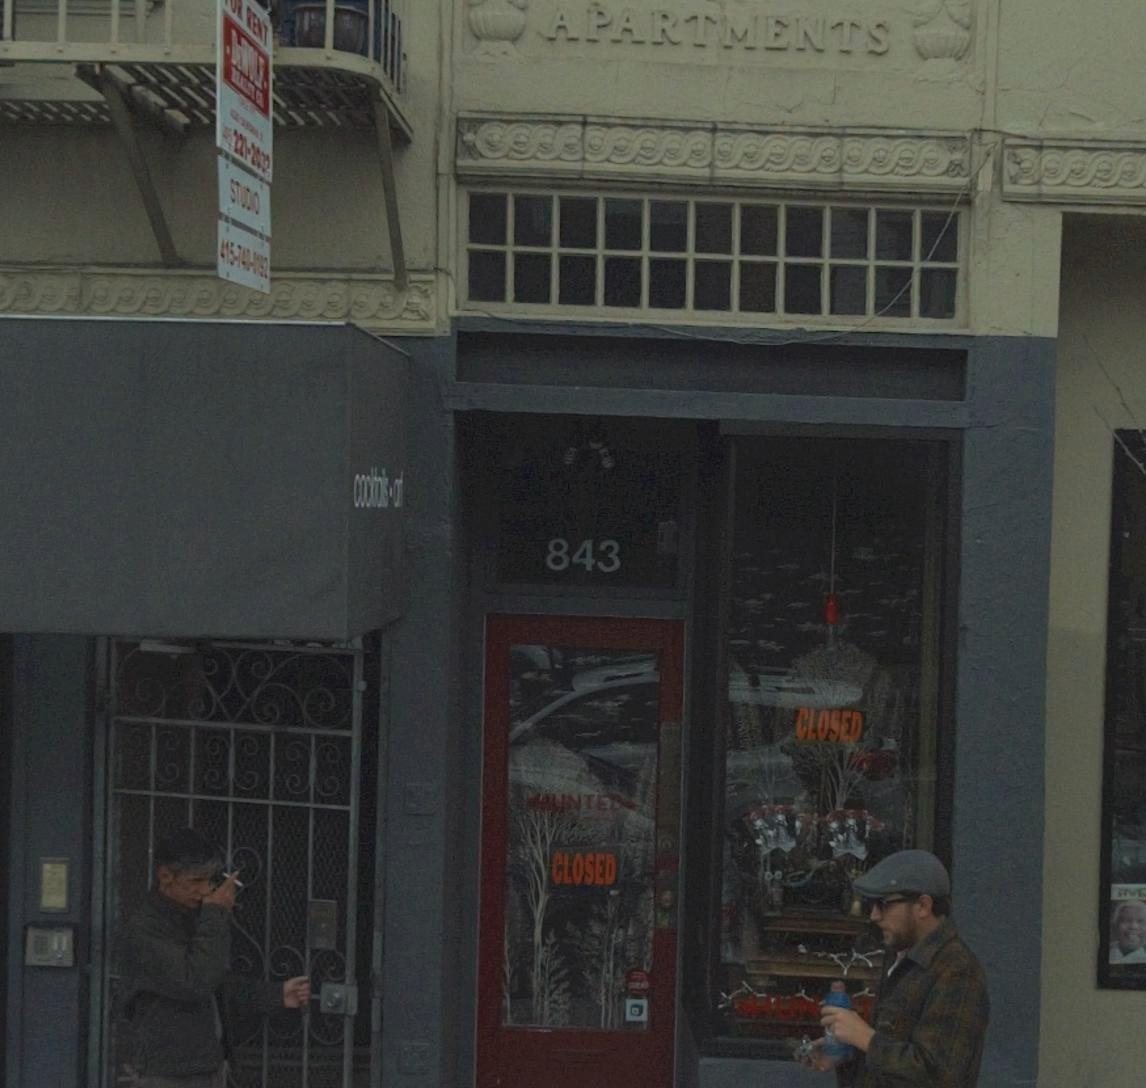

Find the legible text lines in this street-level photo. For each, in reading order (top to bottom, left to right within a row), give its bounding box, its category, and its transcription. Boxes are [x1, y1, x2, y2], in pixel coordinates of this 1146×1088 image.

[246, 4, 269, 48] None: RENT
[544, 5, 892, 57] None: APARTMENTS
[232, 127, 271, 179] None: 221-2***
[230, 177, 261, 218] None: STUD*O
[218, 236, 269, 281] None: 415-74******
[352, 466, 405, 509] None: coc********
[544, 537, 623, 574] StreetNumber: 843
[794, 706, 864, 744] None: CLOSED
[523, 792, 624, 813] None: **UNTE*
[550, 851, 618, 886] None: CLOSED
[749, 993, 820, 1023] None: HUN